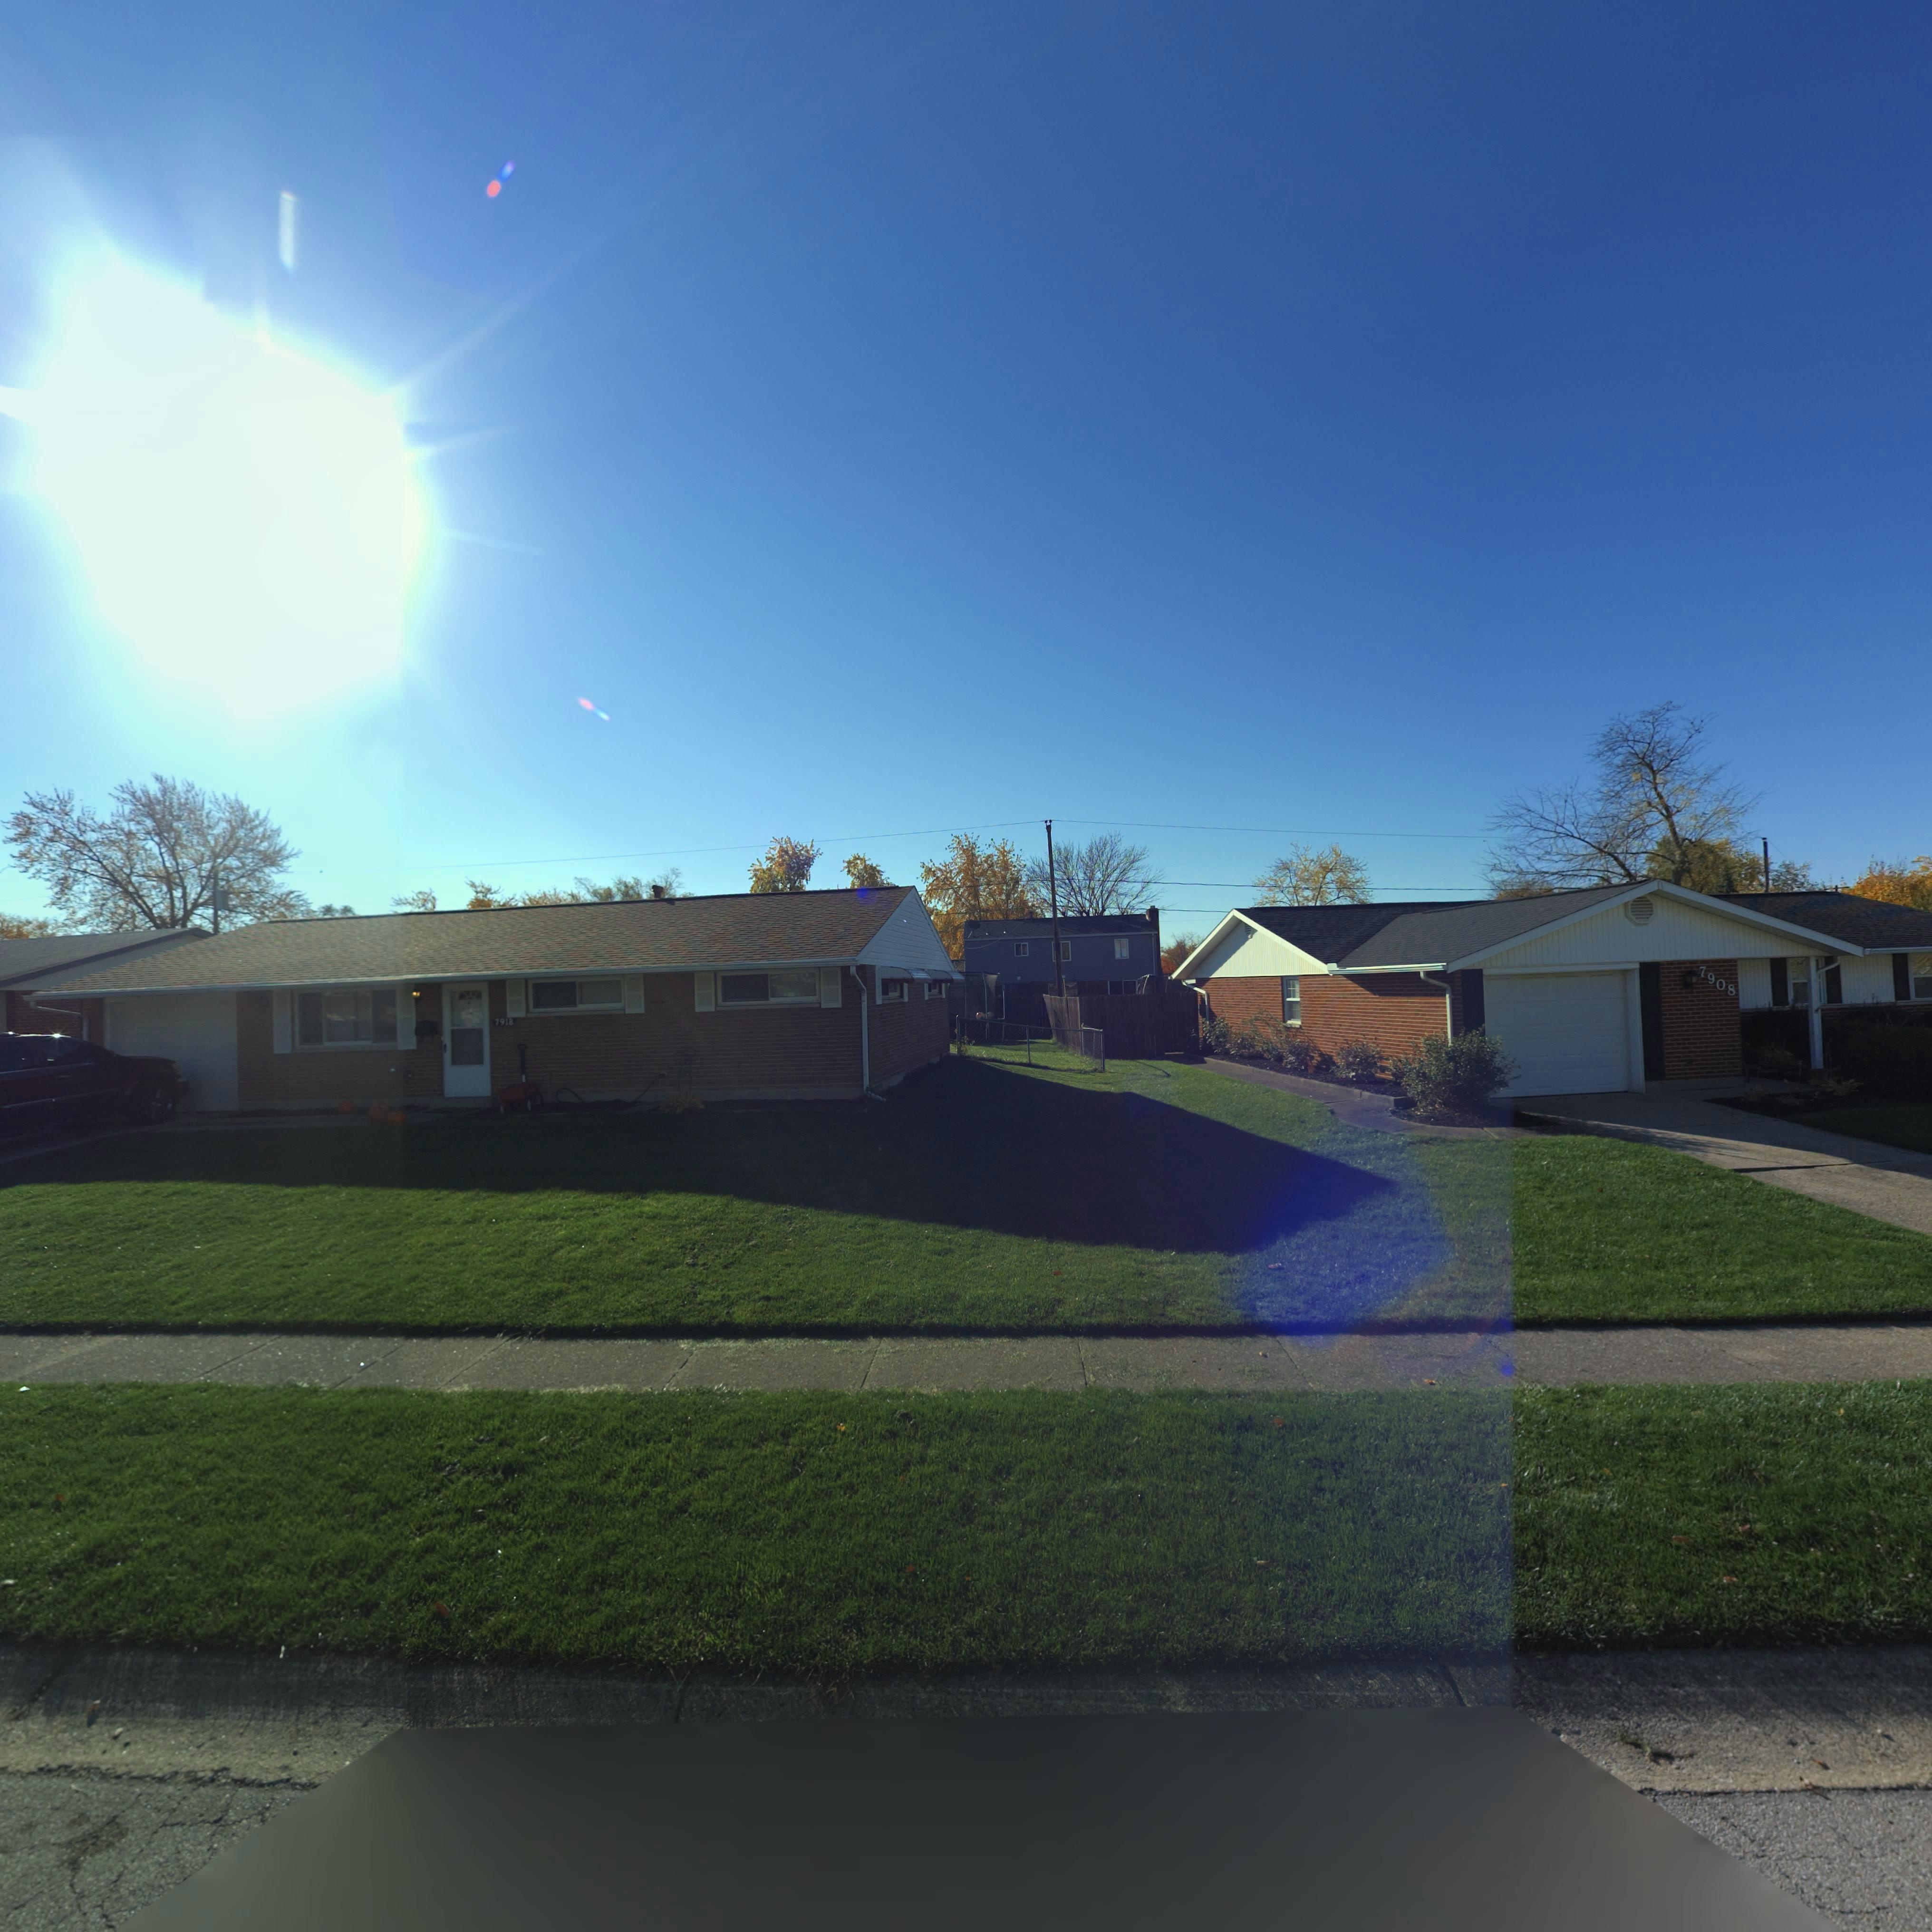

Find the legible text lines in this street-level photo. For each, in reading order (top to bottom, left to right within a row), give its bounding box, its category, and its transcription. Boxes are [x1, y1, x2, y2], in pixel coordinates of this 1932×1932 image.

[1698, 965, 1737, 997] StreetNumber: 7908
[493, 1017, 515, 1027] StreetNumber: 7918